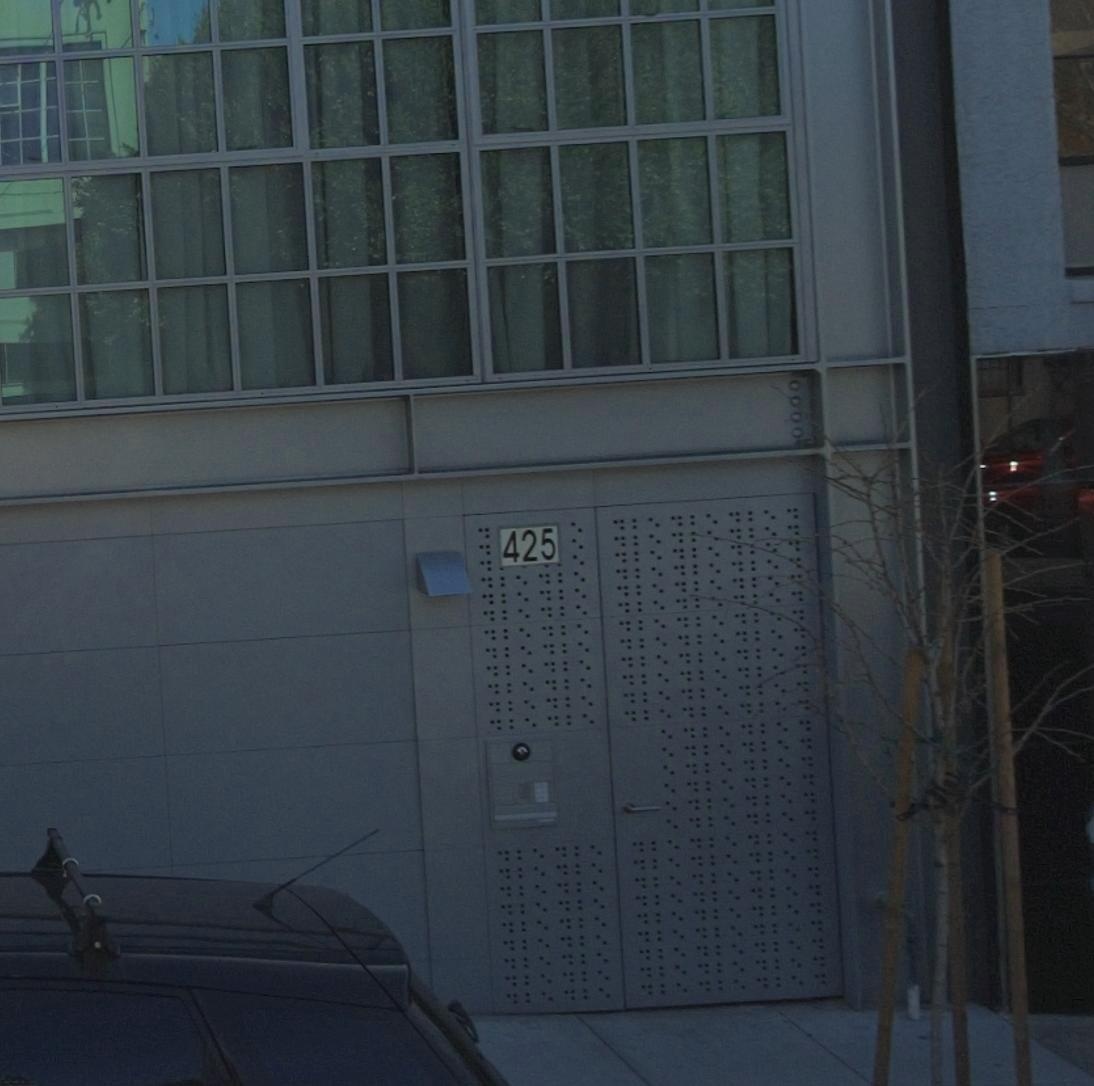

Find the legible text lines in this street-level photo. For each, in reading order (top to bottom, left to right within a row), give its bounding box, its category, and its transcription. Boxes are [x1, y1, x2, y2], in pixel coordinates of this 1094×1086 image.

[494, 522, 560, 568] StreetNumber: 425